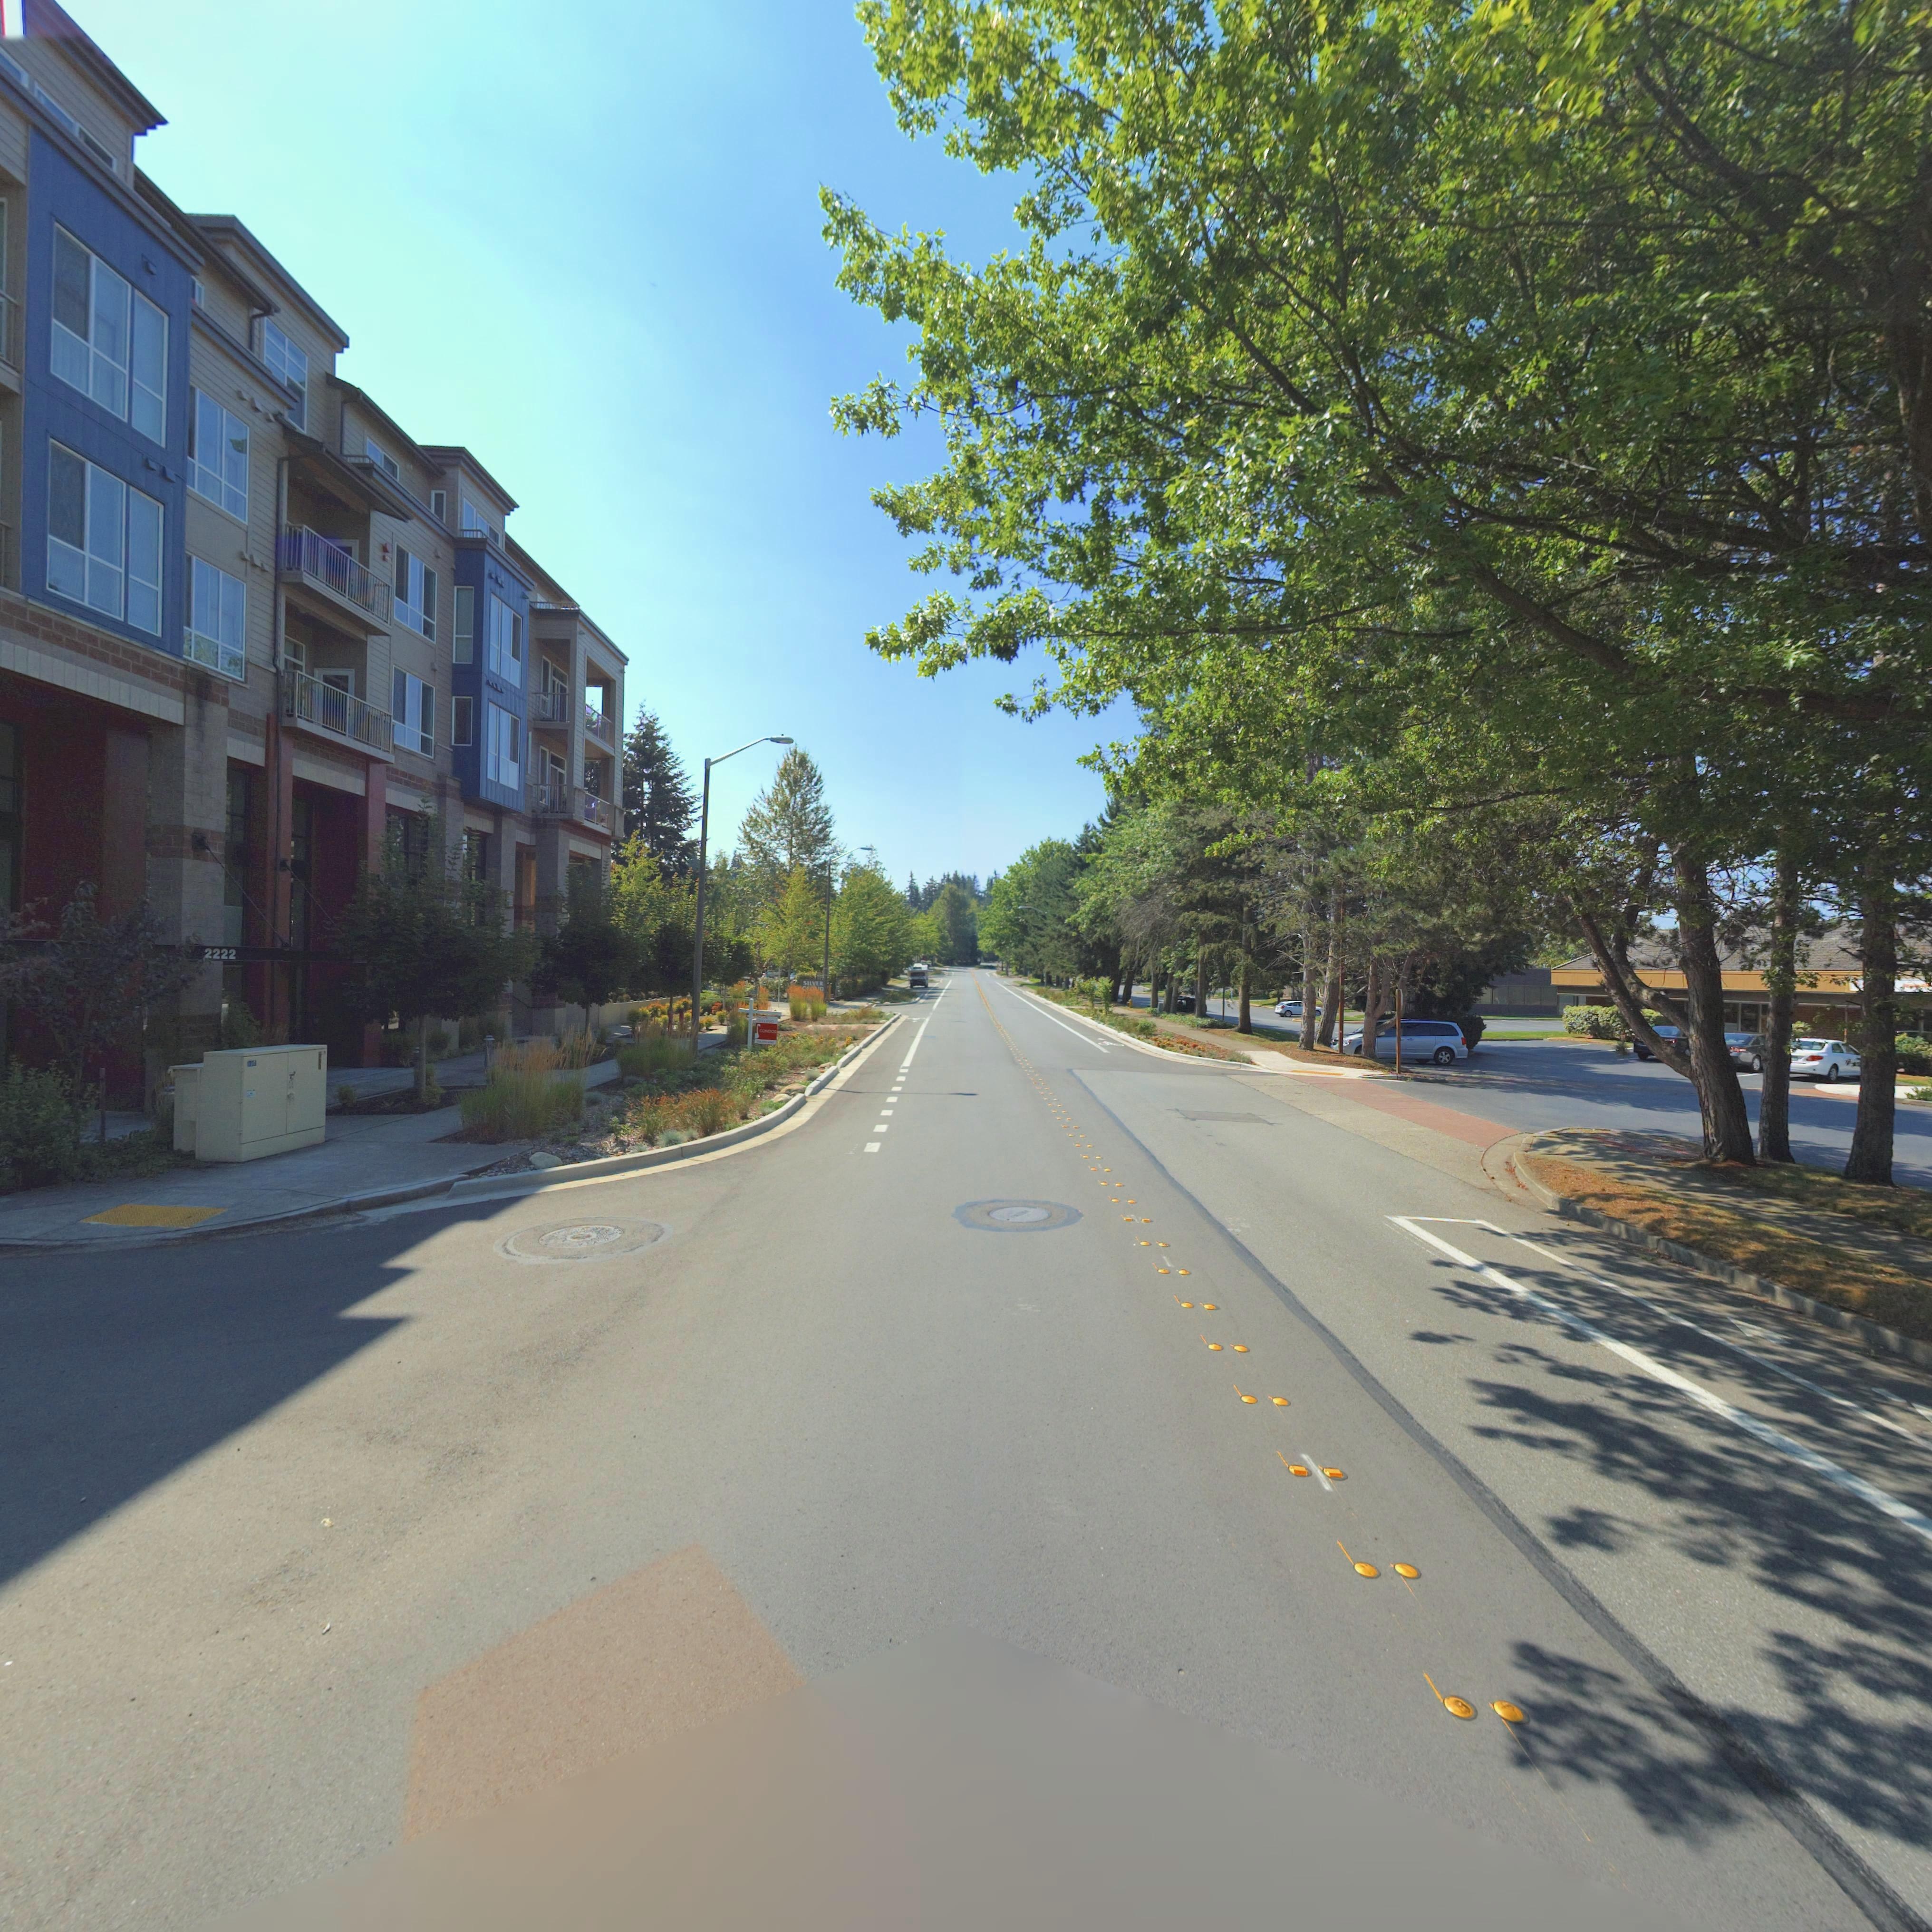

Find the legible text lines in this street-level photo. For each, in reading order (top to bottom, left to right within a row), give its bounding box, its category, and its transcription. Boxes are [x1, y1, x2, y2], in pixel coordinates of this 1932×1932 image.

[196, 938, 250, 968] StreetNumber: 2222
[802, 979, 823, 986] BusinessName: SILVER